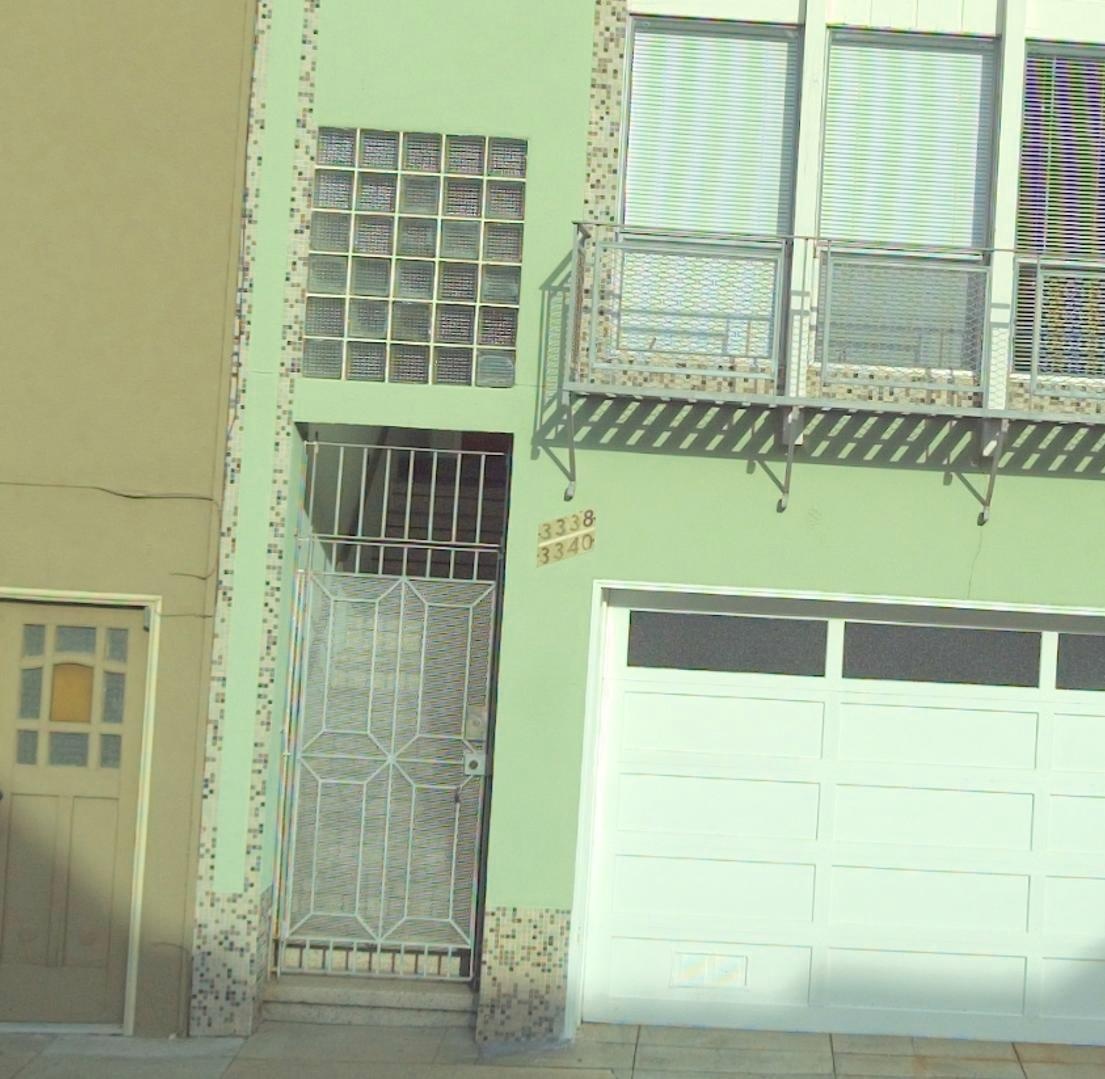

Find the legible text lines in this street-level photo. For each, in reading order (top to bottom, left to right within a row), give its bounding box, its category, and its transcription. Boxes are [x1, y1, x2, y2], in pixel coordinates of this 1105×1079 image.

[538, 507, 596, 545] StreetNumber: 3338
[538, 529, 596, 568] StreetNumber: 3340